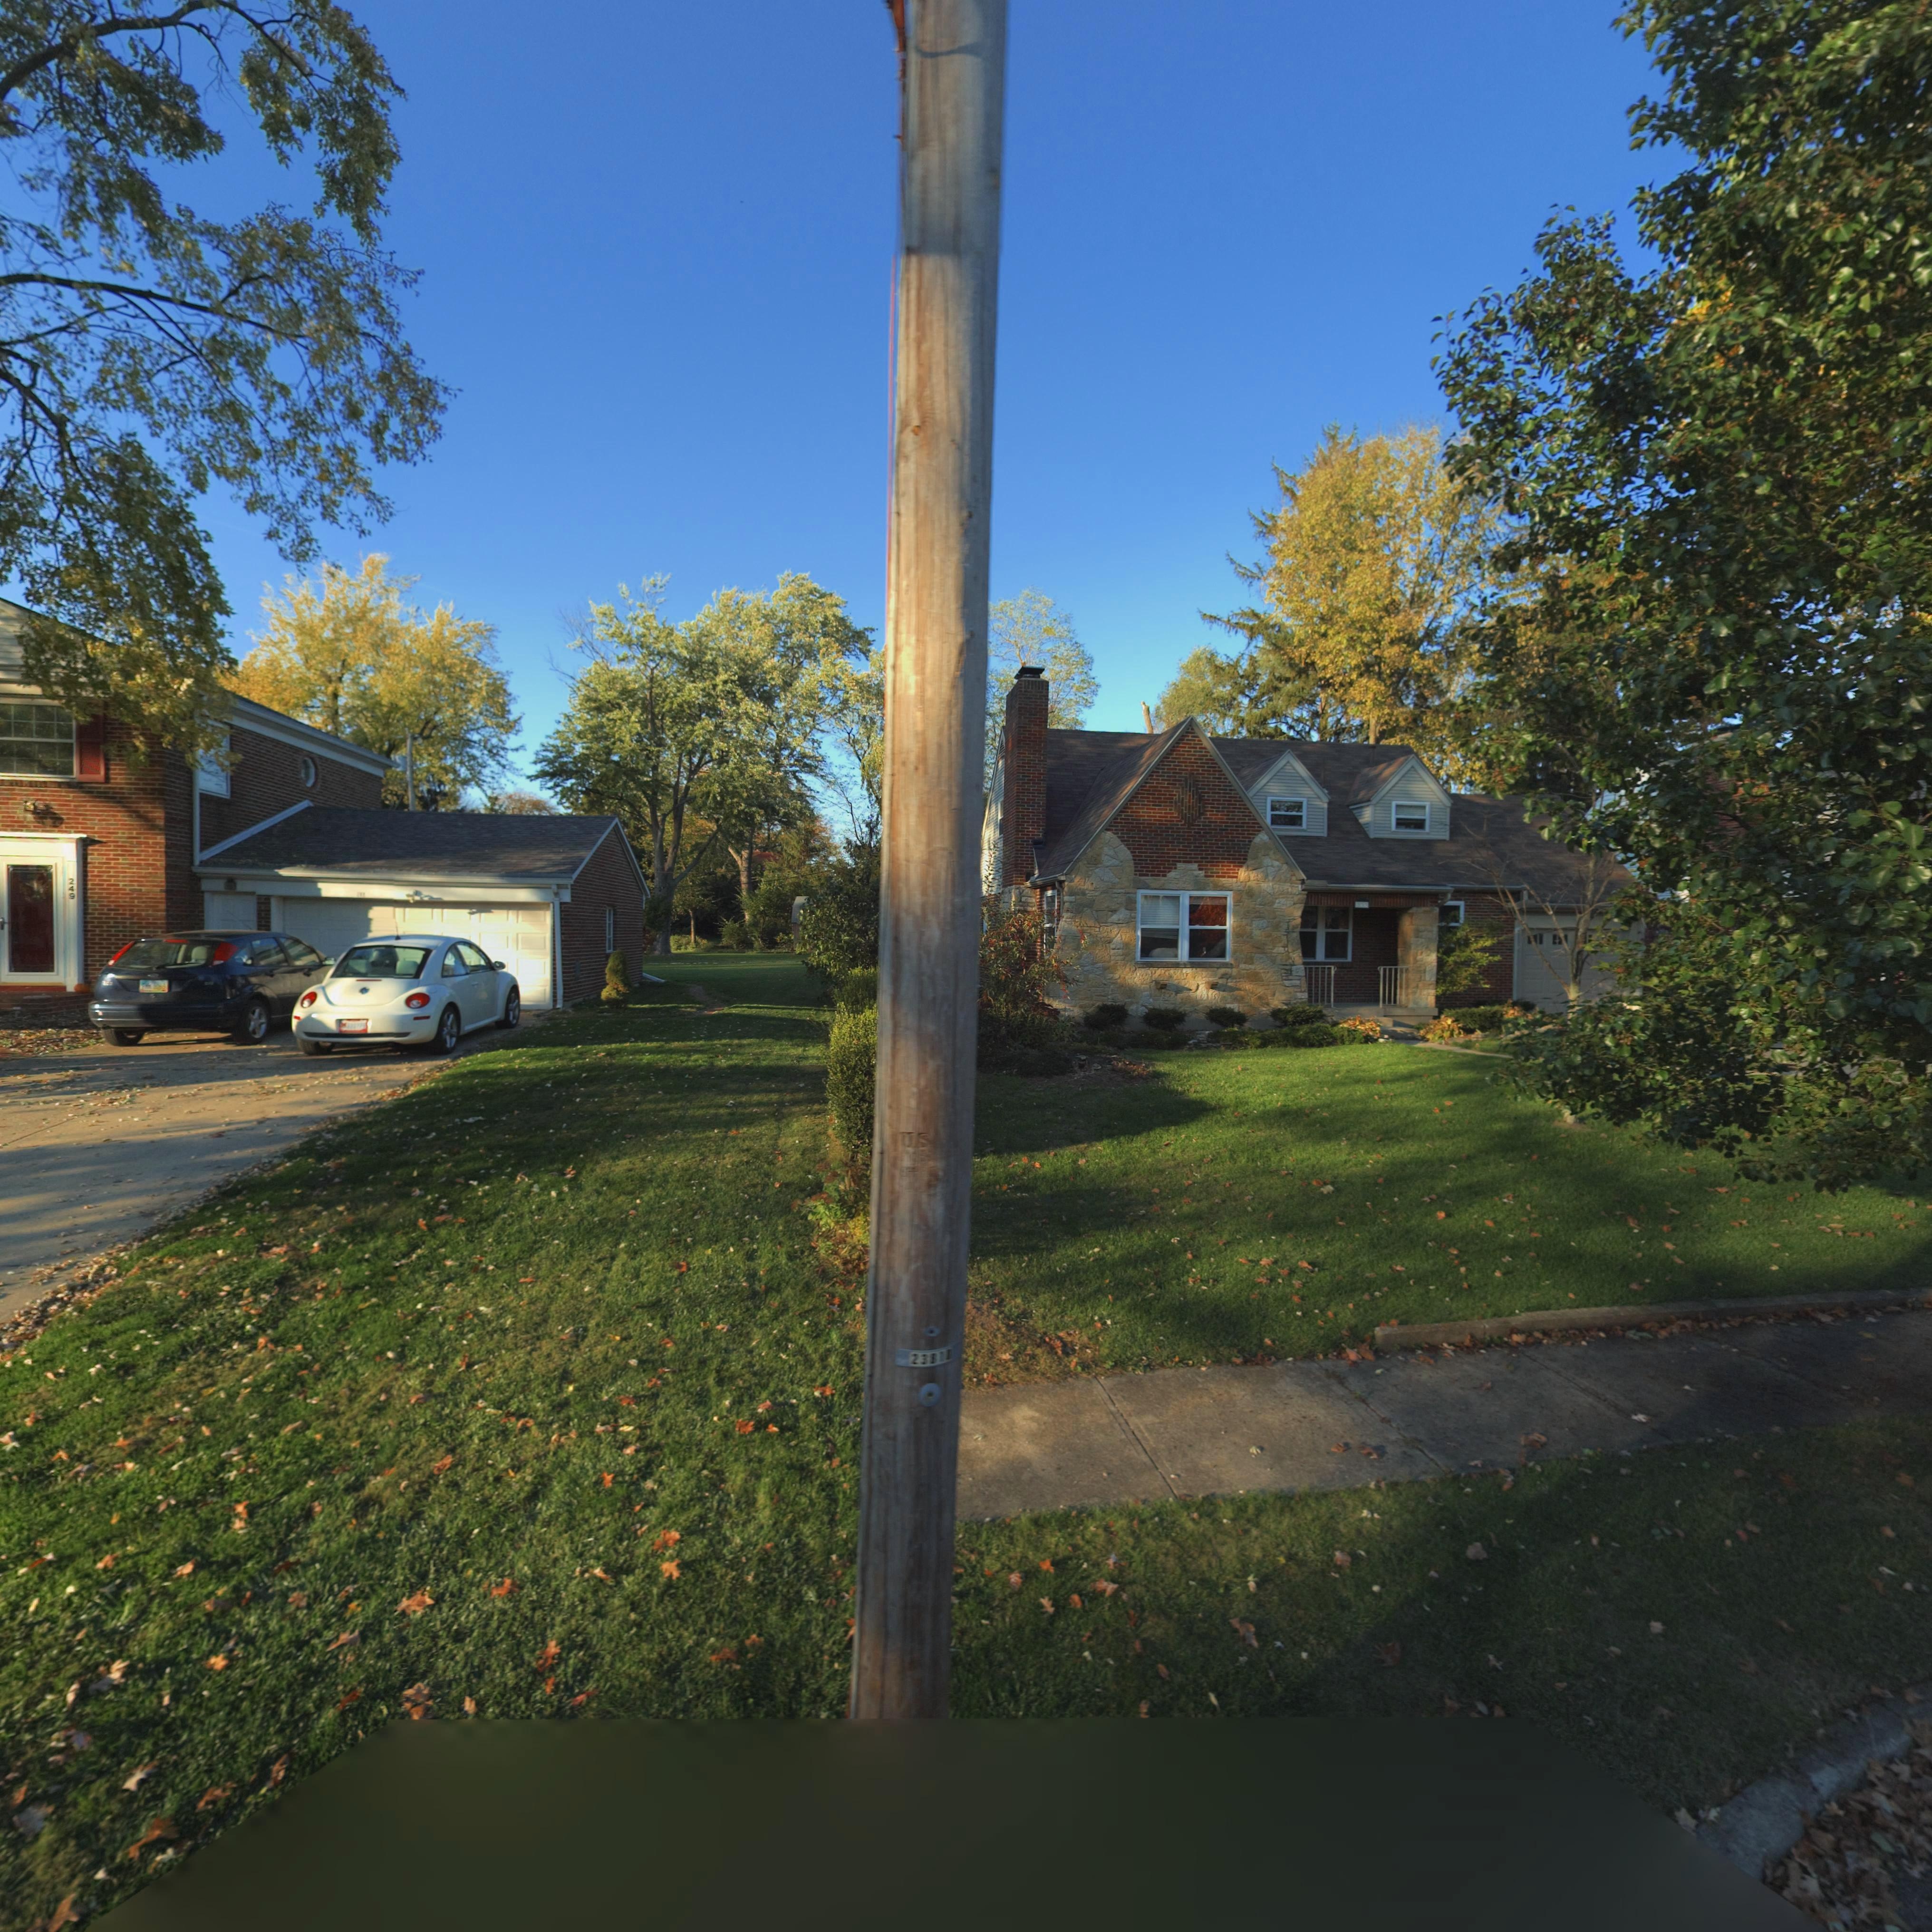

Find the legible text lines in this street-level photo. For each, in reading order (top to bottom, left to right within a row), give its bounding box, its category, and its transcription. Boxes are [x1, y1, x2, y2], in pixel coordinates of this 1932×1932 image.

[68, 878, 75, 900] StreetNumber: 249